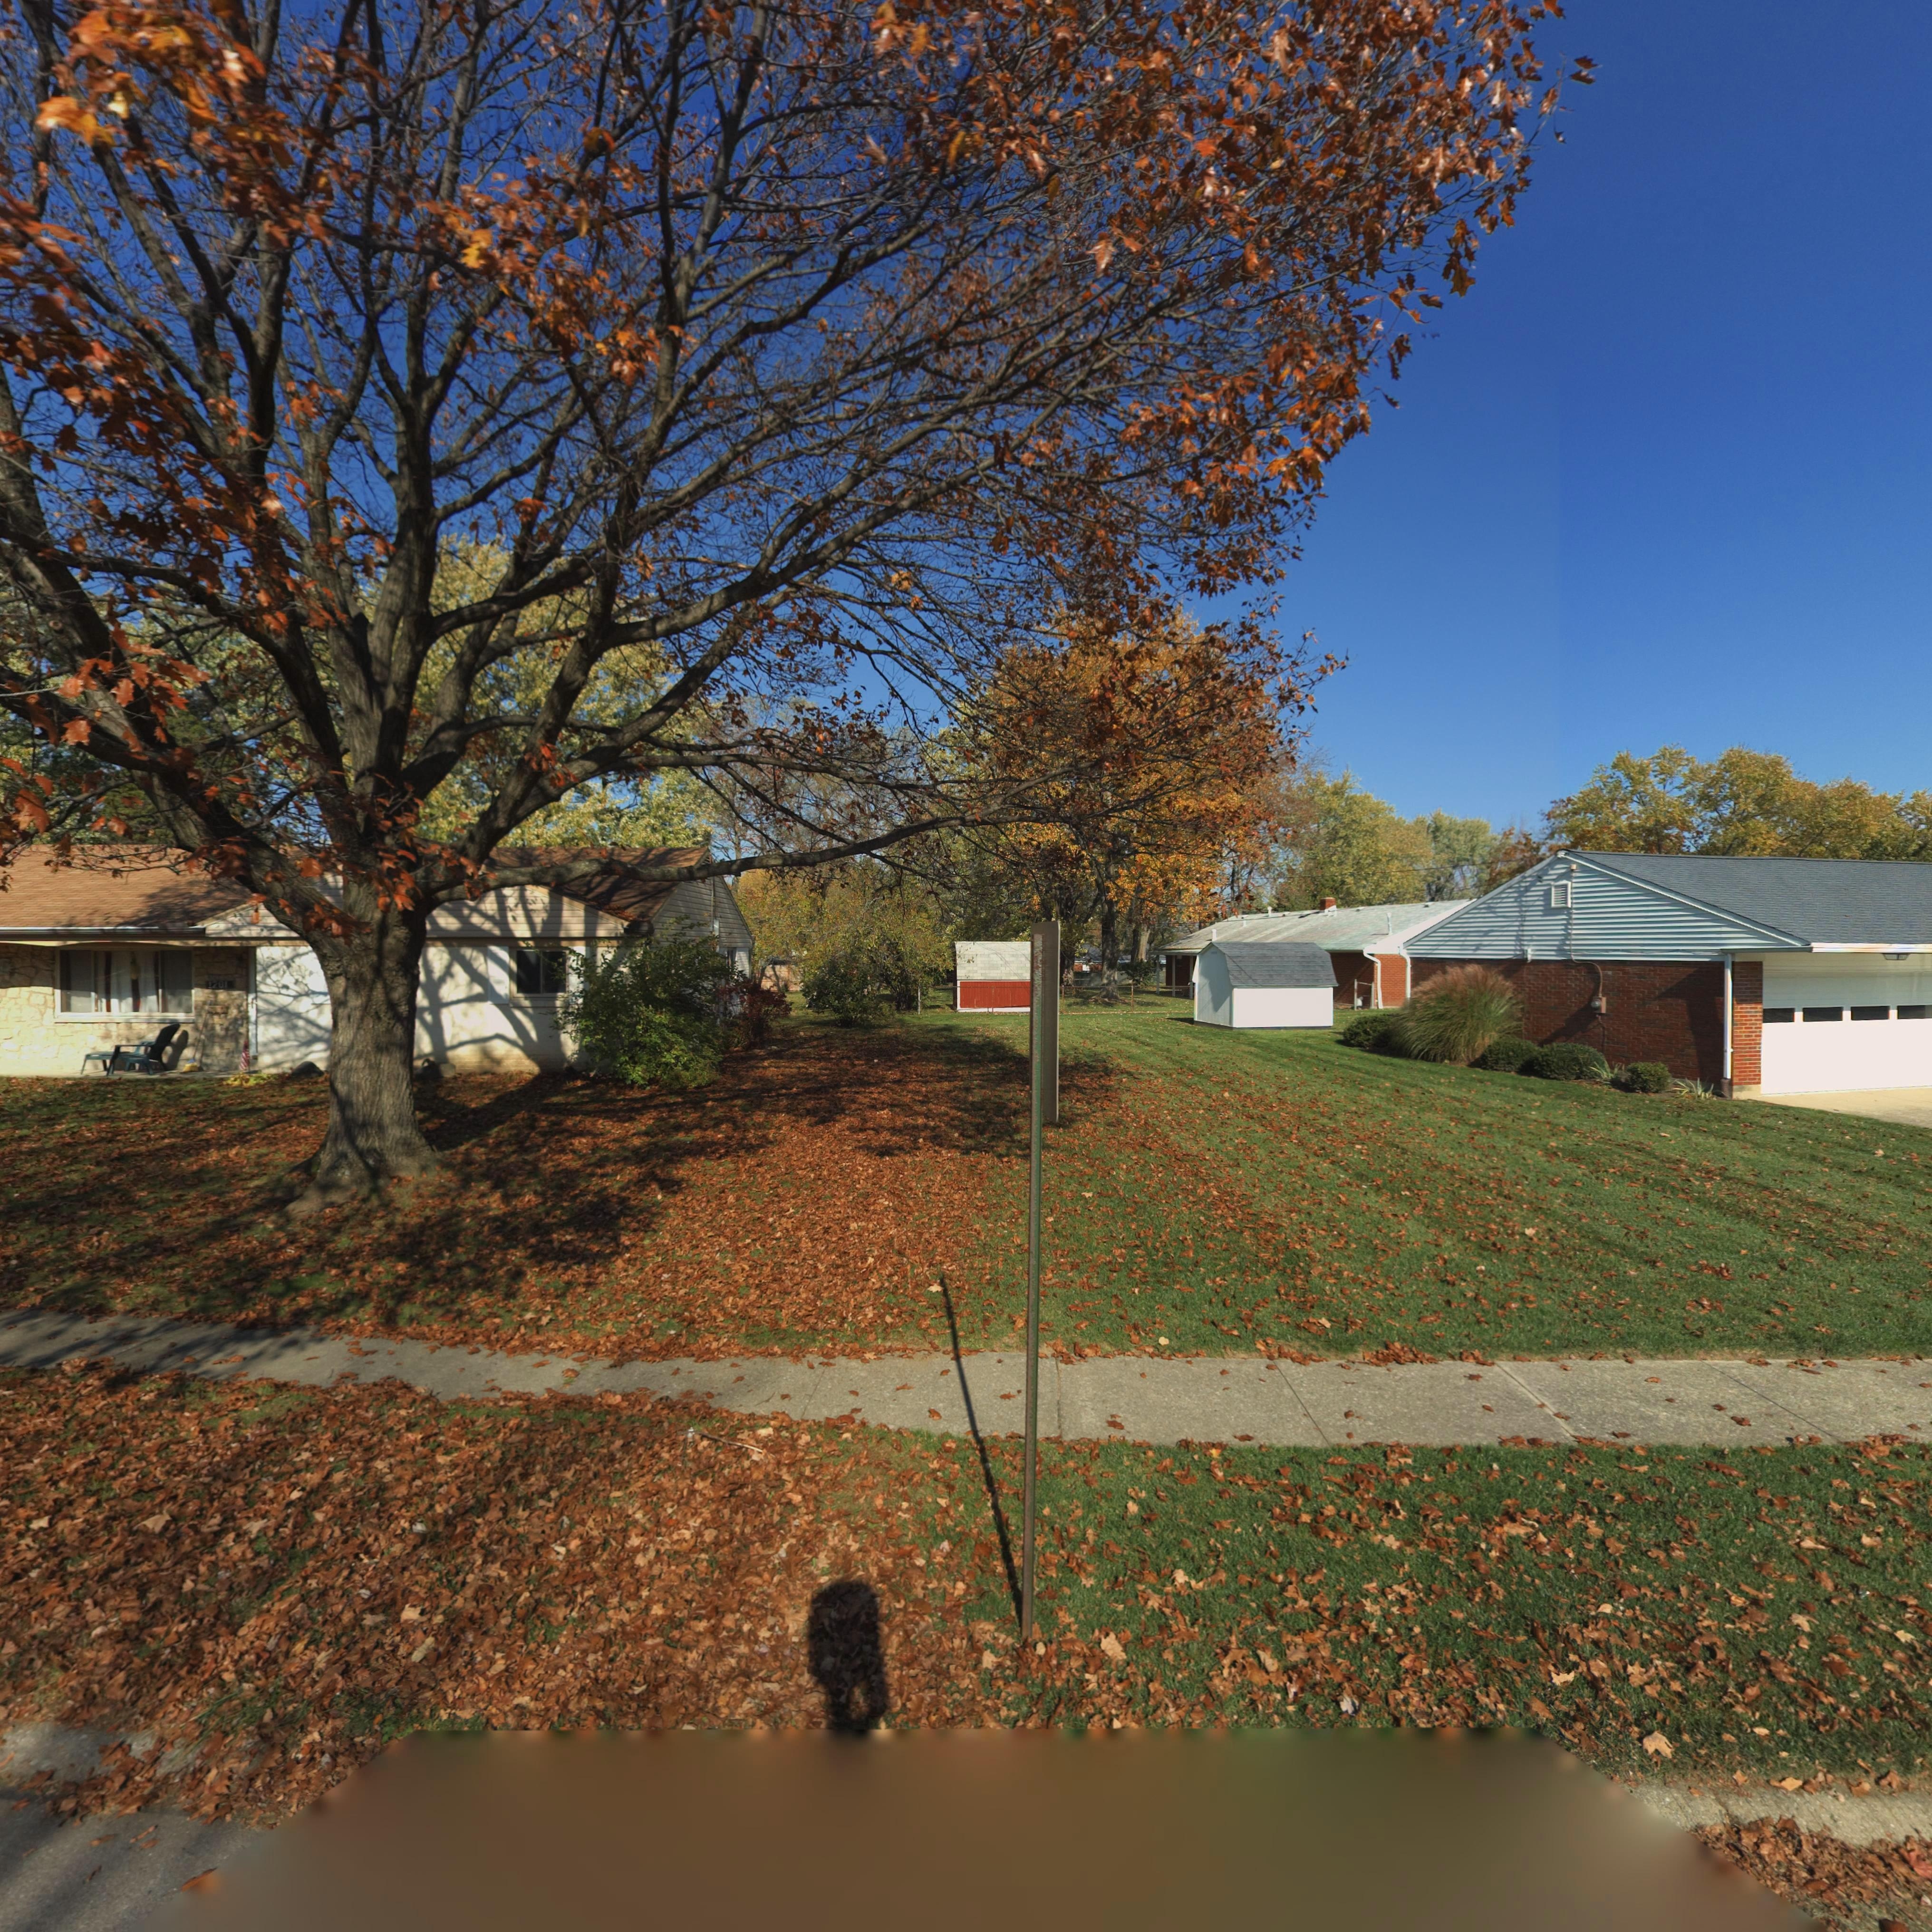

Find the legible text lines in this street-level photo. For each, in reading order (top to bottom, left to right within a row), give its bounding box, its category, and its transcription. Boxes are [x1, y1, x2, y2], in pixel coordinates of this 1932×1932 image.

[207, 980, 229, 989] StreetNumber: 1201